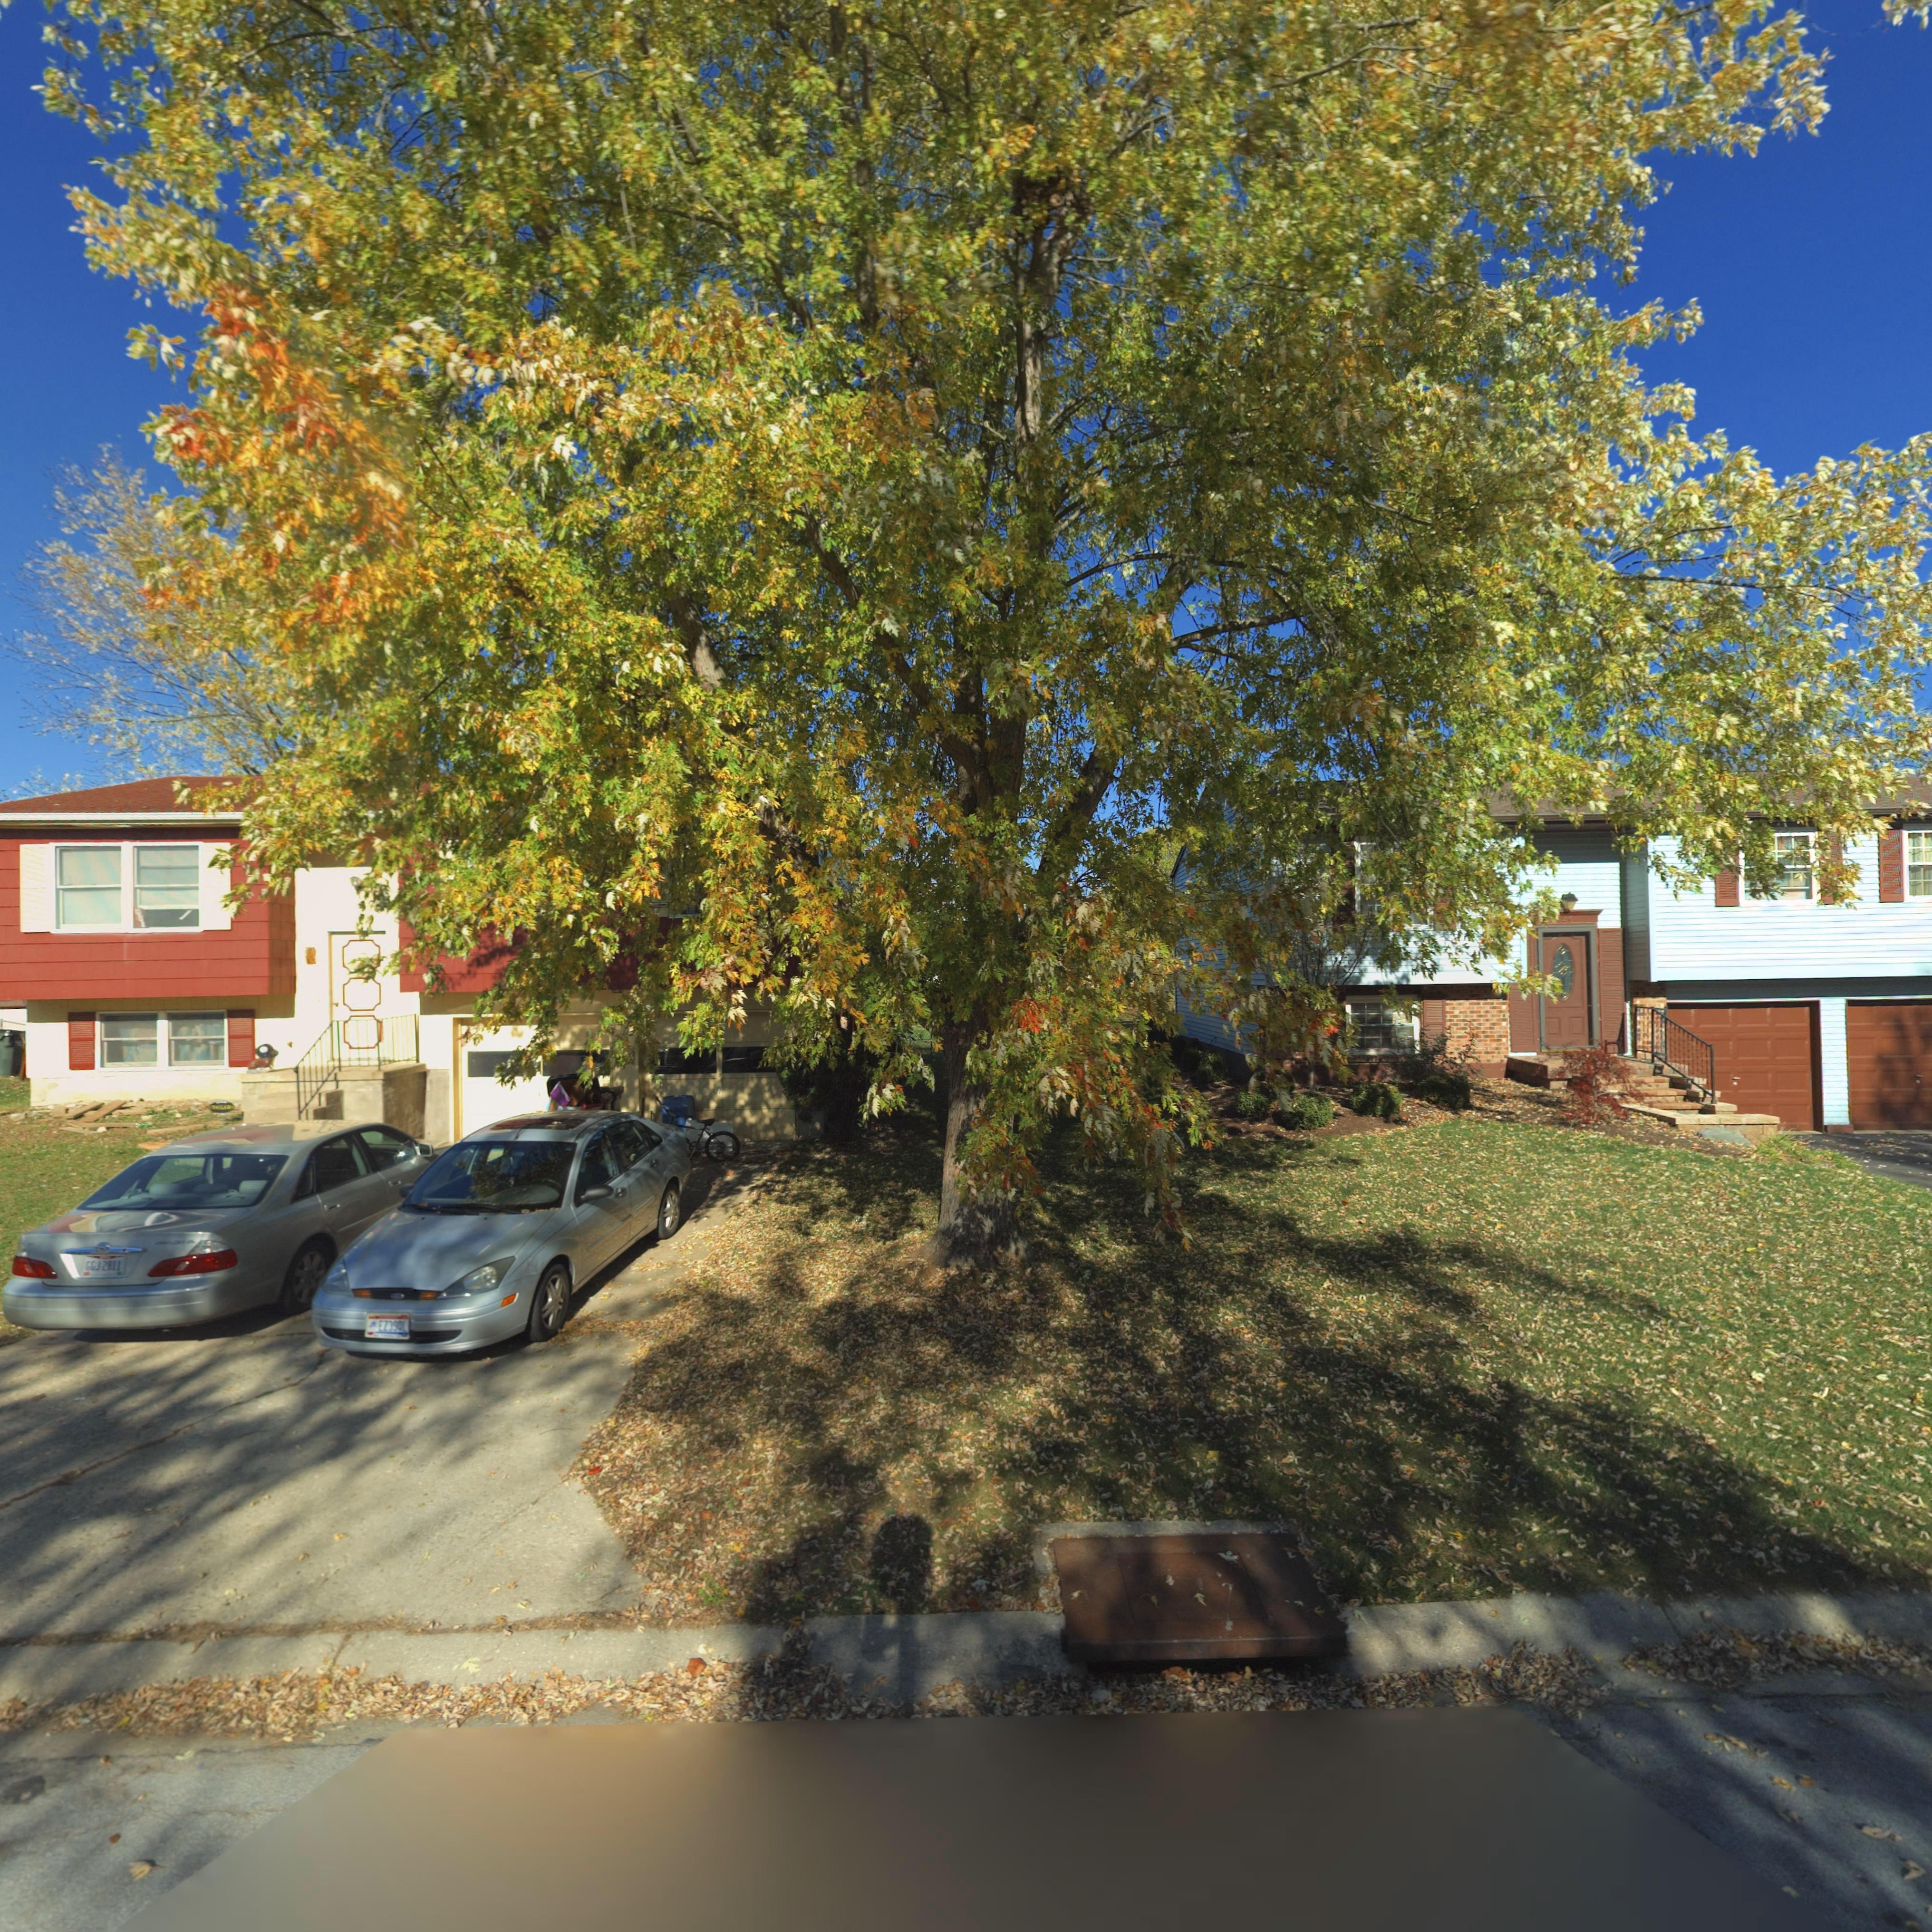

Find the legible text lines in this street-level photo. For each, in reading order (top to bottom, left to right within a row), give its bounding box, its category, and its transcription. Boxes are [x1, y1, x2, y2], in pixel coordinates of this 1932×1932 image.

[1557, 915, 1574, 924] StreetNumber: 14*